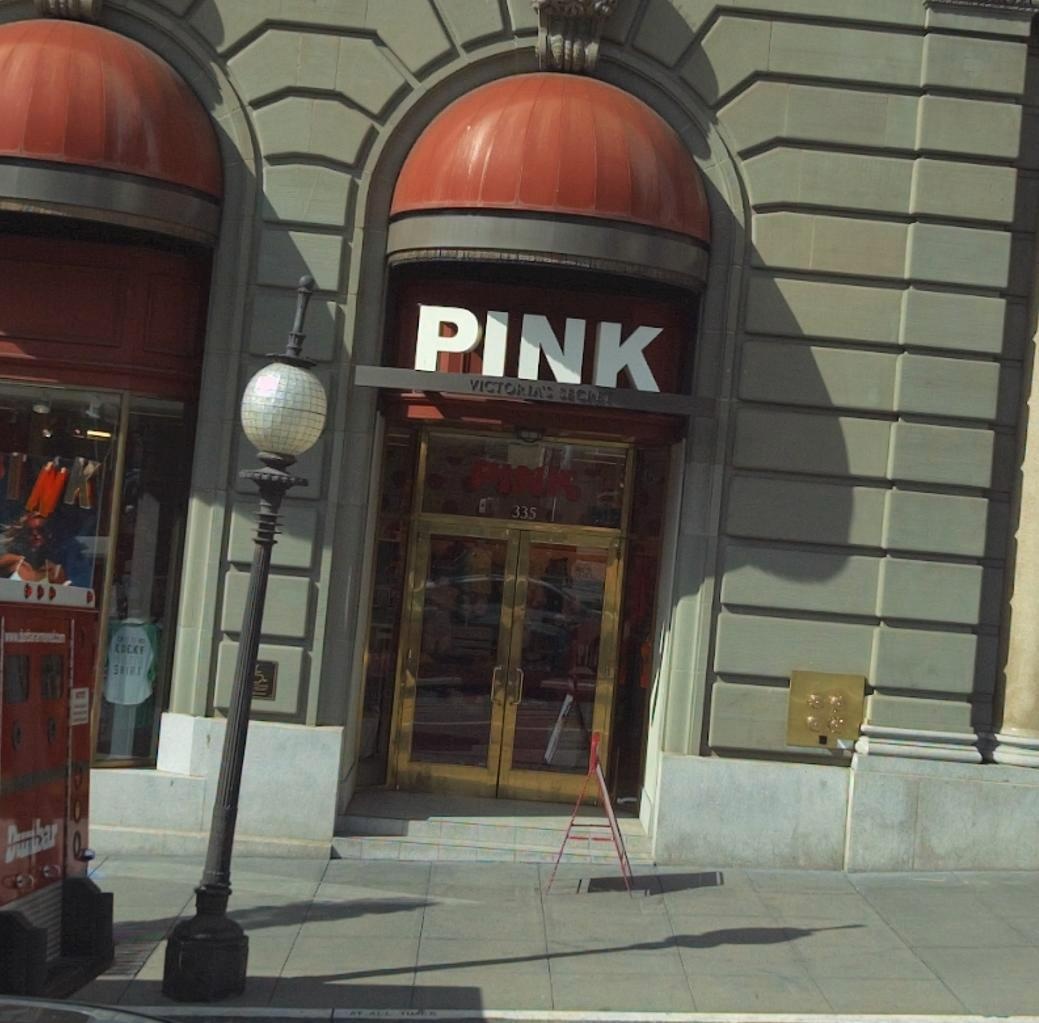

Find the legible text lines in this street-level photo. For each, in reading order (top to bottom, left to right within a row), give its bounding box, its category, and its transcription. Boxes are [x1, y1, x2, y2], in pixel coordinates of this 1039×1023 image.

[405, 292, 675, 401] BusinessName: PINK
[465, 375, 615, 409] BusinessName: VICTORIA'S SECRET
[17, 451, 111, 527] None: NK
[466, 456, 583, 504] None: PINK
[510, 502, 541, 523] StreetNumber: 335
[110, 661, 145, 680] None: S*IRT
[112, 640, 149, 658] None: LUCKY
[0, 810, 64, 871] None: Dunbar